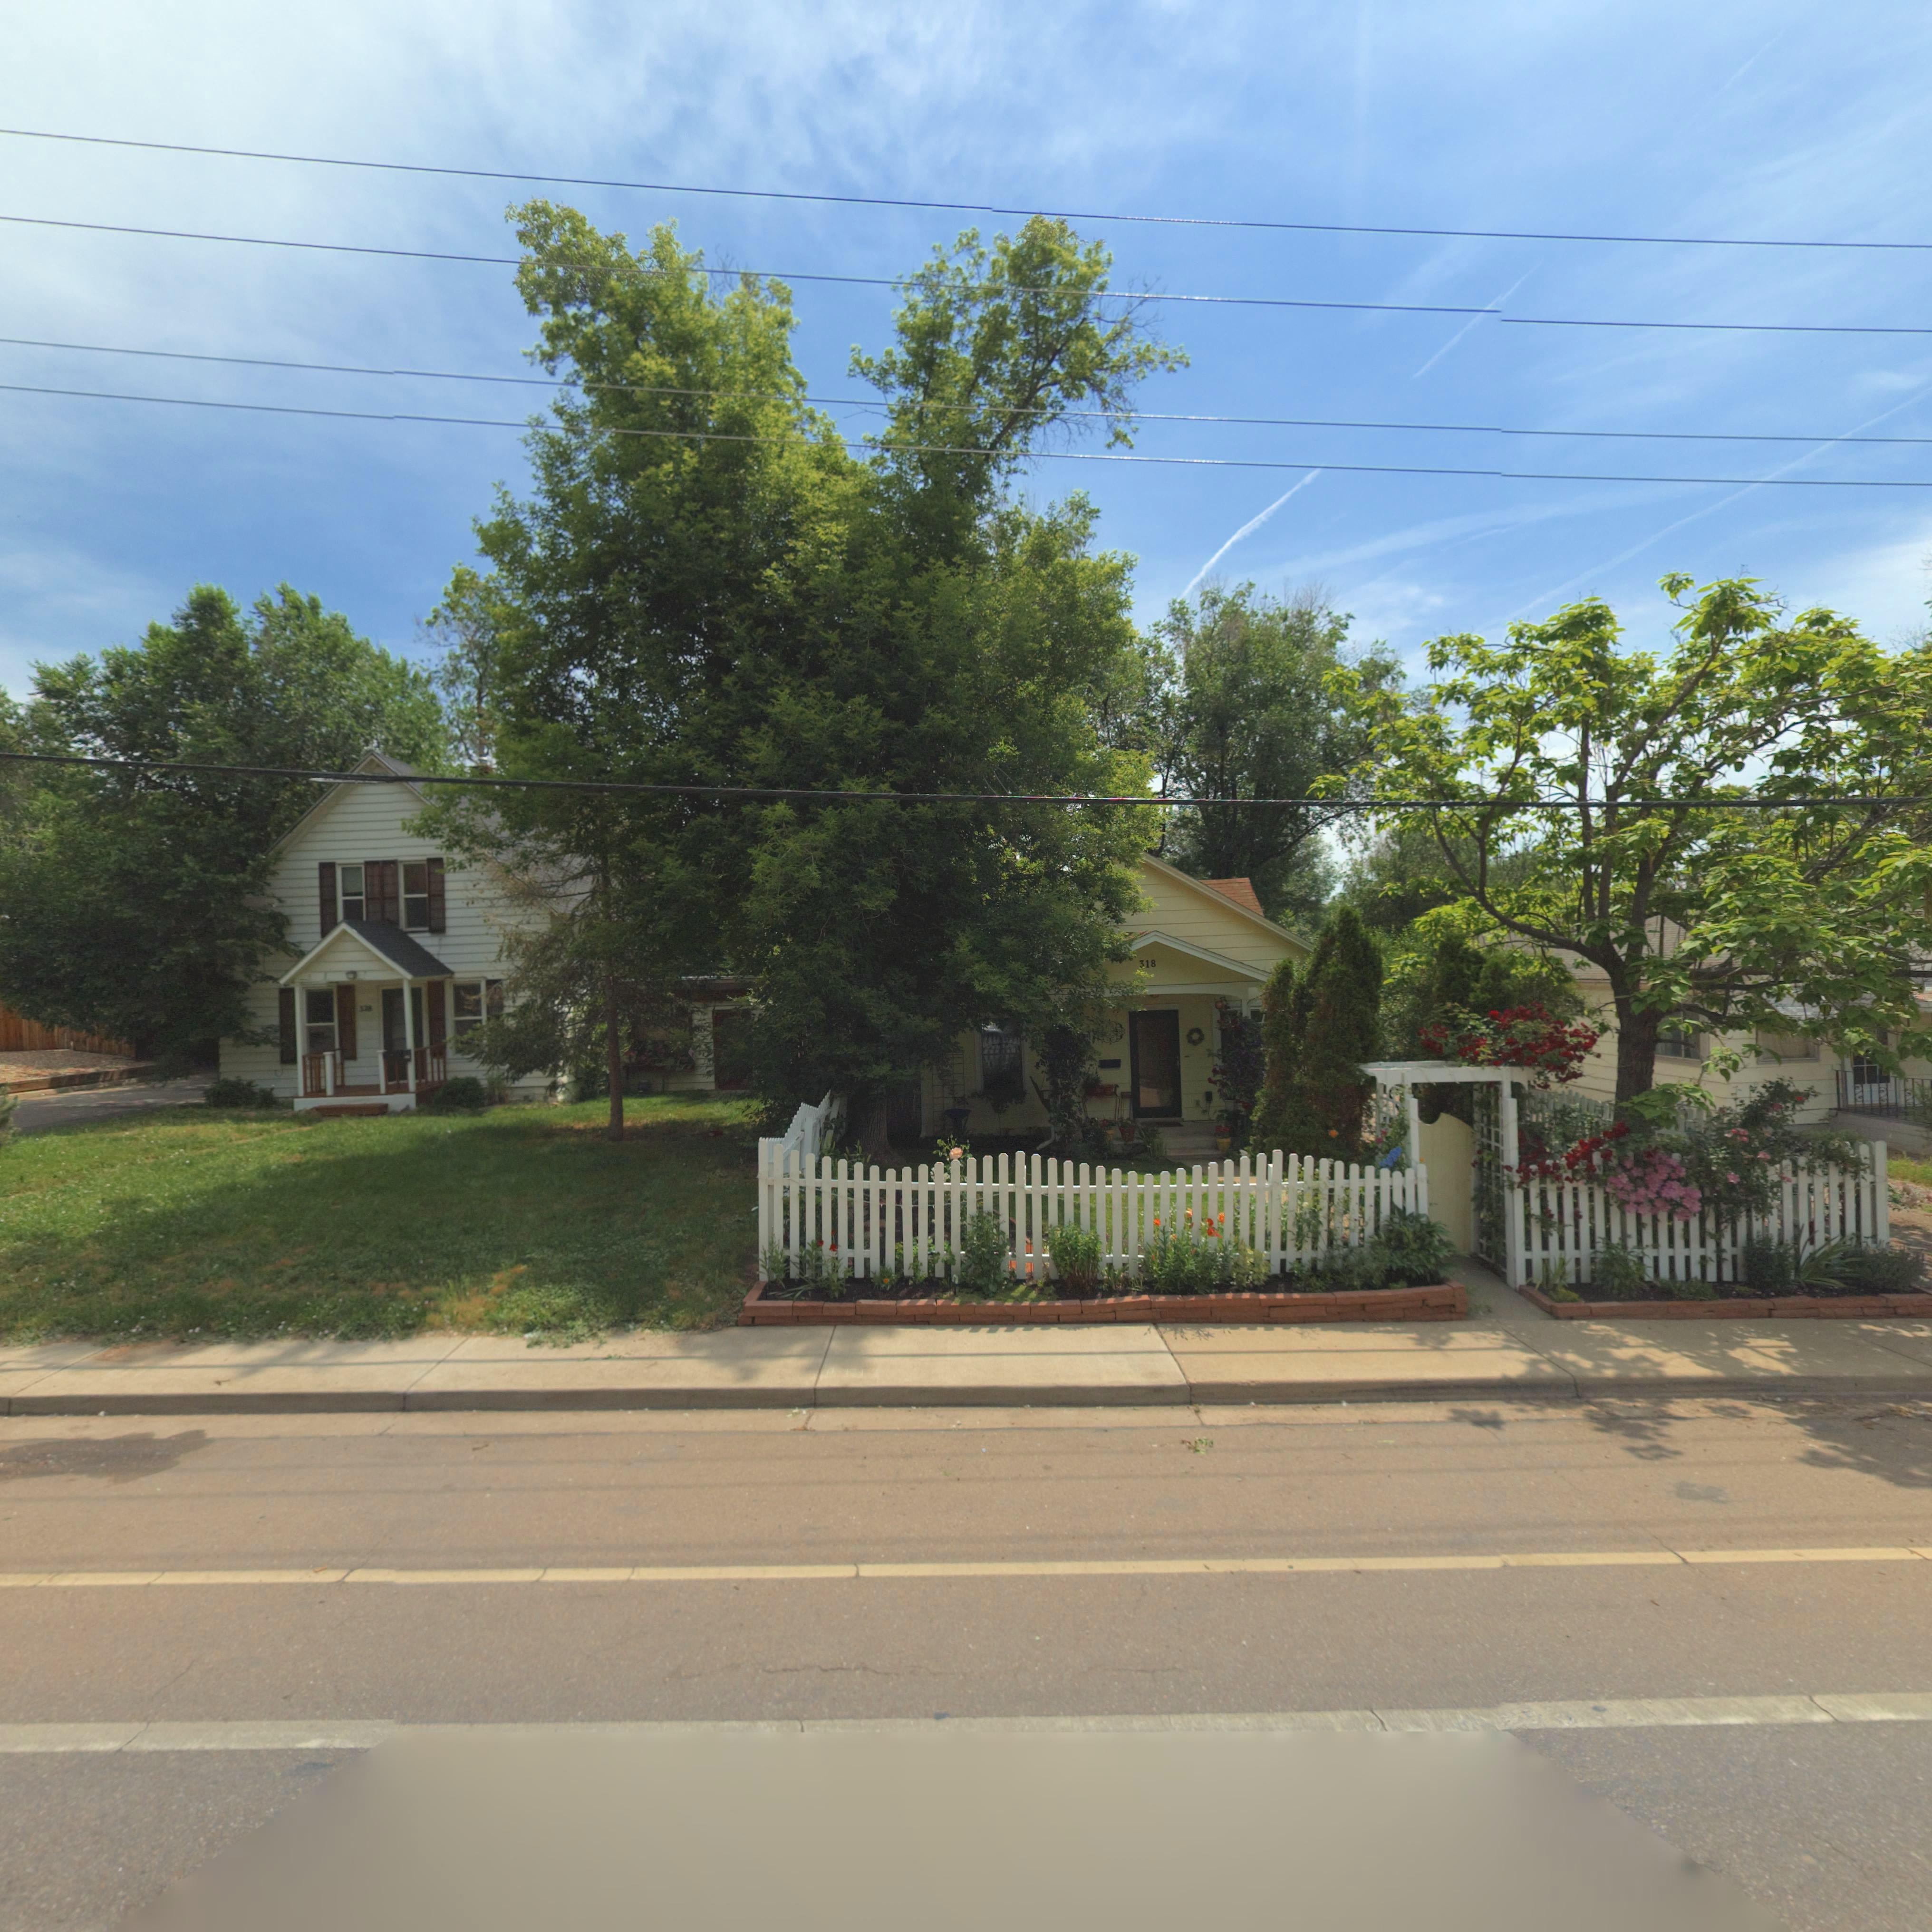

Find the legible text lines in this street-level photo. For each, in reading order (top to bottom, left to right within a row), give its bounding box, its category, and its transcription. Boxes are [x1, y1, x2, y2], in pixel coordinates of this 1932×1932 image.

[1139, 959, 1157, 968] StreetNumber: 318
[358, 1003, 374, 1013] StreetNumber: 325